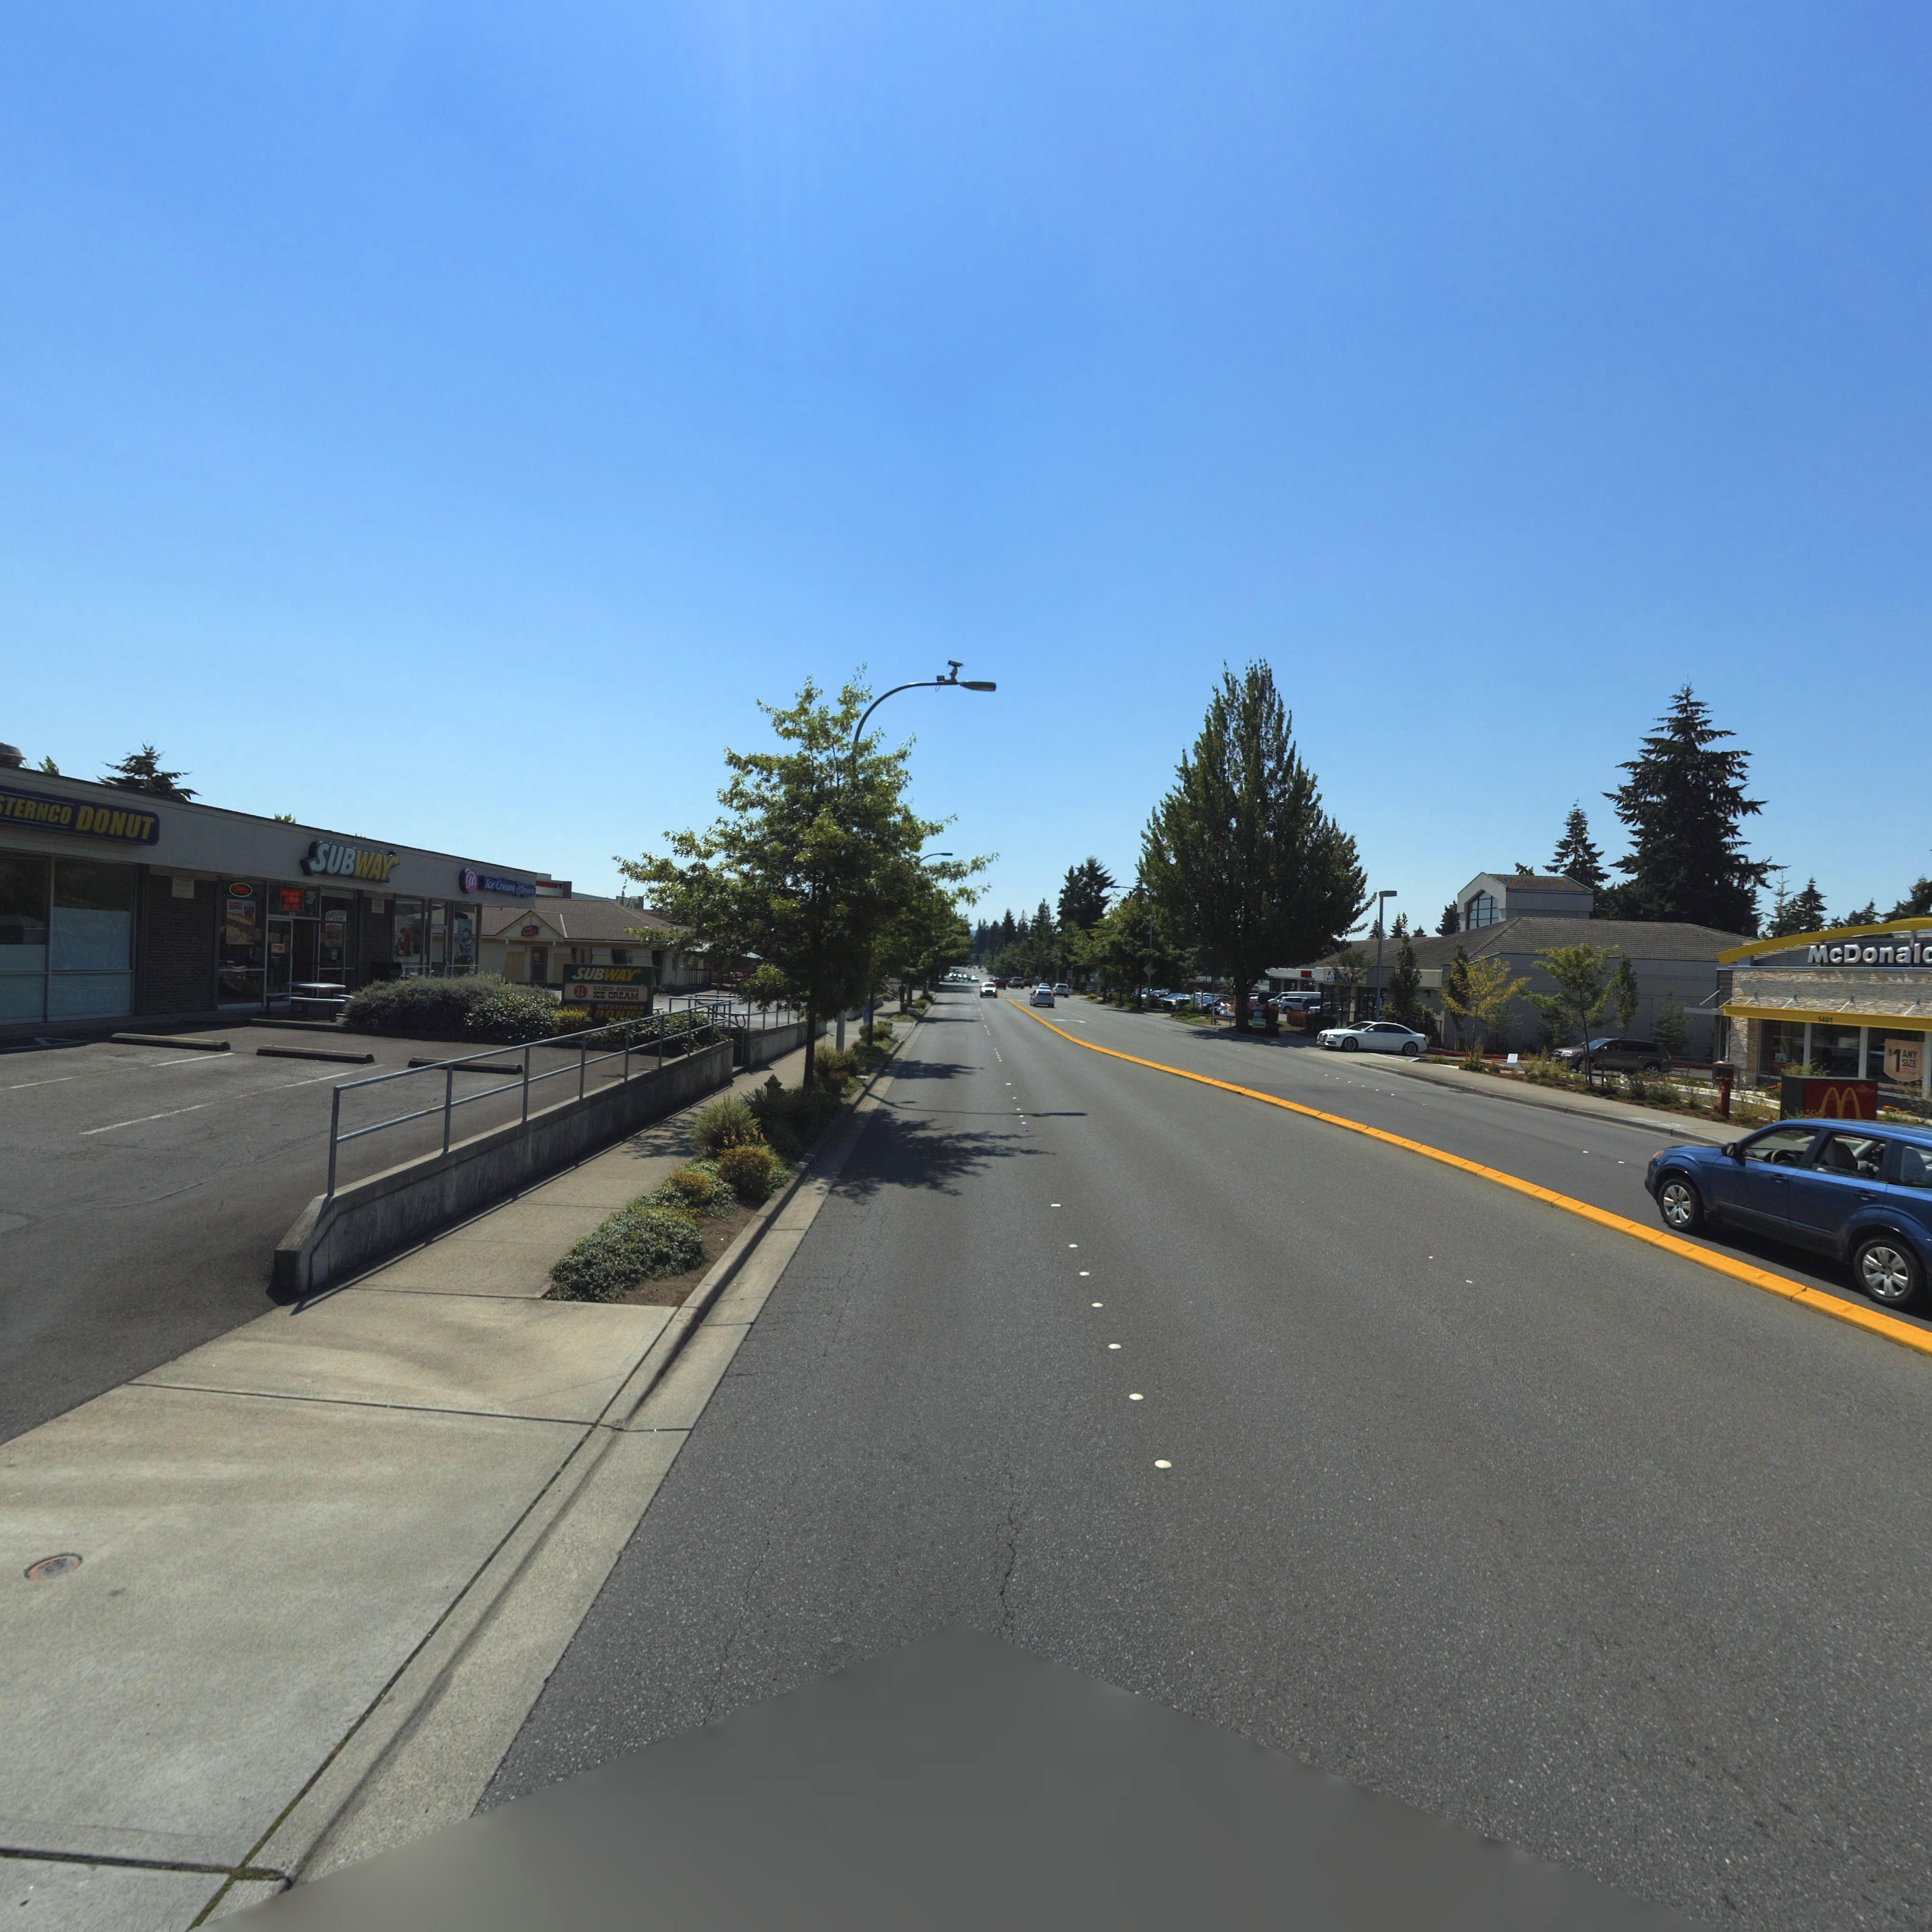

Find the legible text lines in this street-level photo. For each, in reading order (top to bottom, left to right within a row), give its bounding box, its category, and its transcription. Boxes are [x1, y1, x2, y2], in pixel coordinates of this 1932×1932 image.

[3, 795, 74, 825] BusinessName: TERNCO
[73, 804, 155, 840] BusinessName: DONUT
[308, 842, 399, 882] BusinessName: SUBWAY
[1806, 942, 1922, 964] BusinessName: McDonal
[571, 967, 642, 981] BusinessName: SUBWAY
[593, 985, 638, 992] BusinessName: BASKIN-RO**IN'S
[597, 1004, 645, 1010] BusinessName: WETERNCO
[595, 1009, 626, 1019] BusinessName: DO*
[1817, 1015, 1833, 1024] StreetNumber: *401